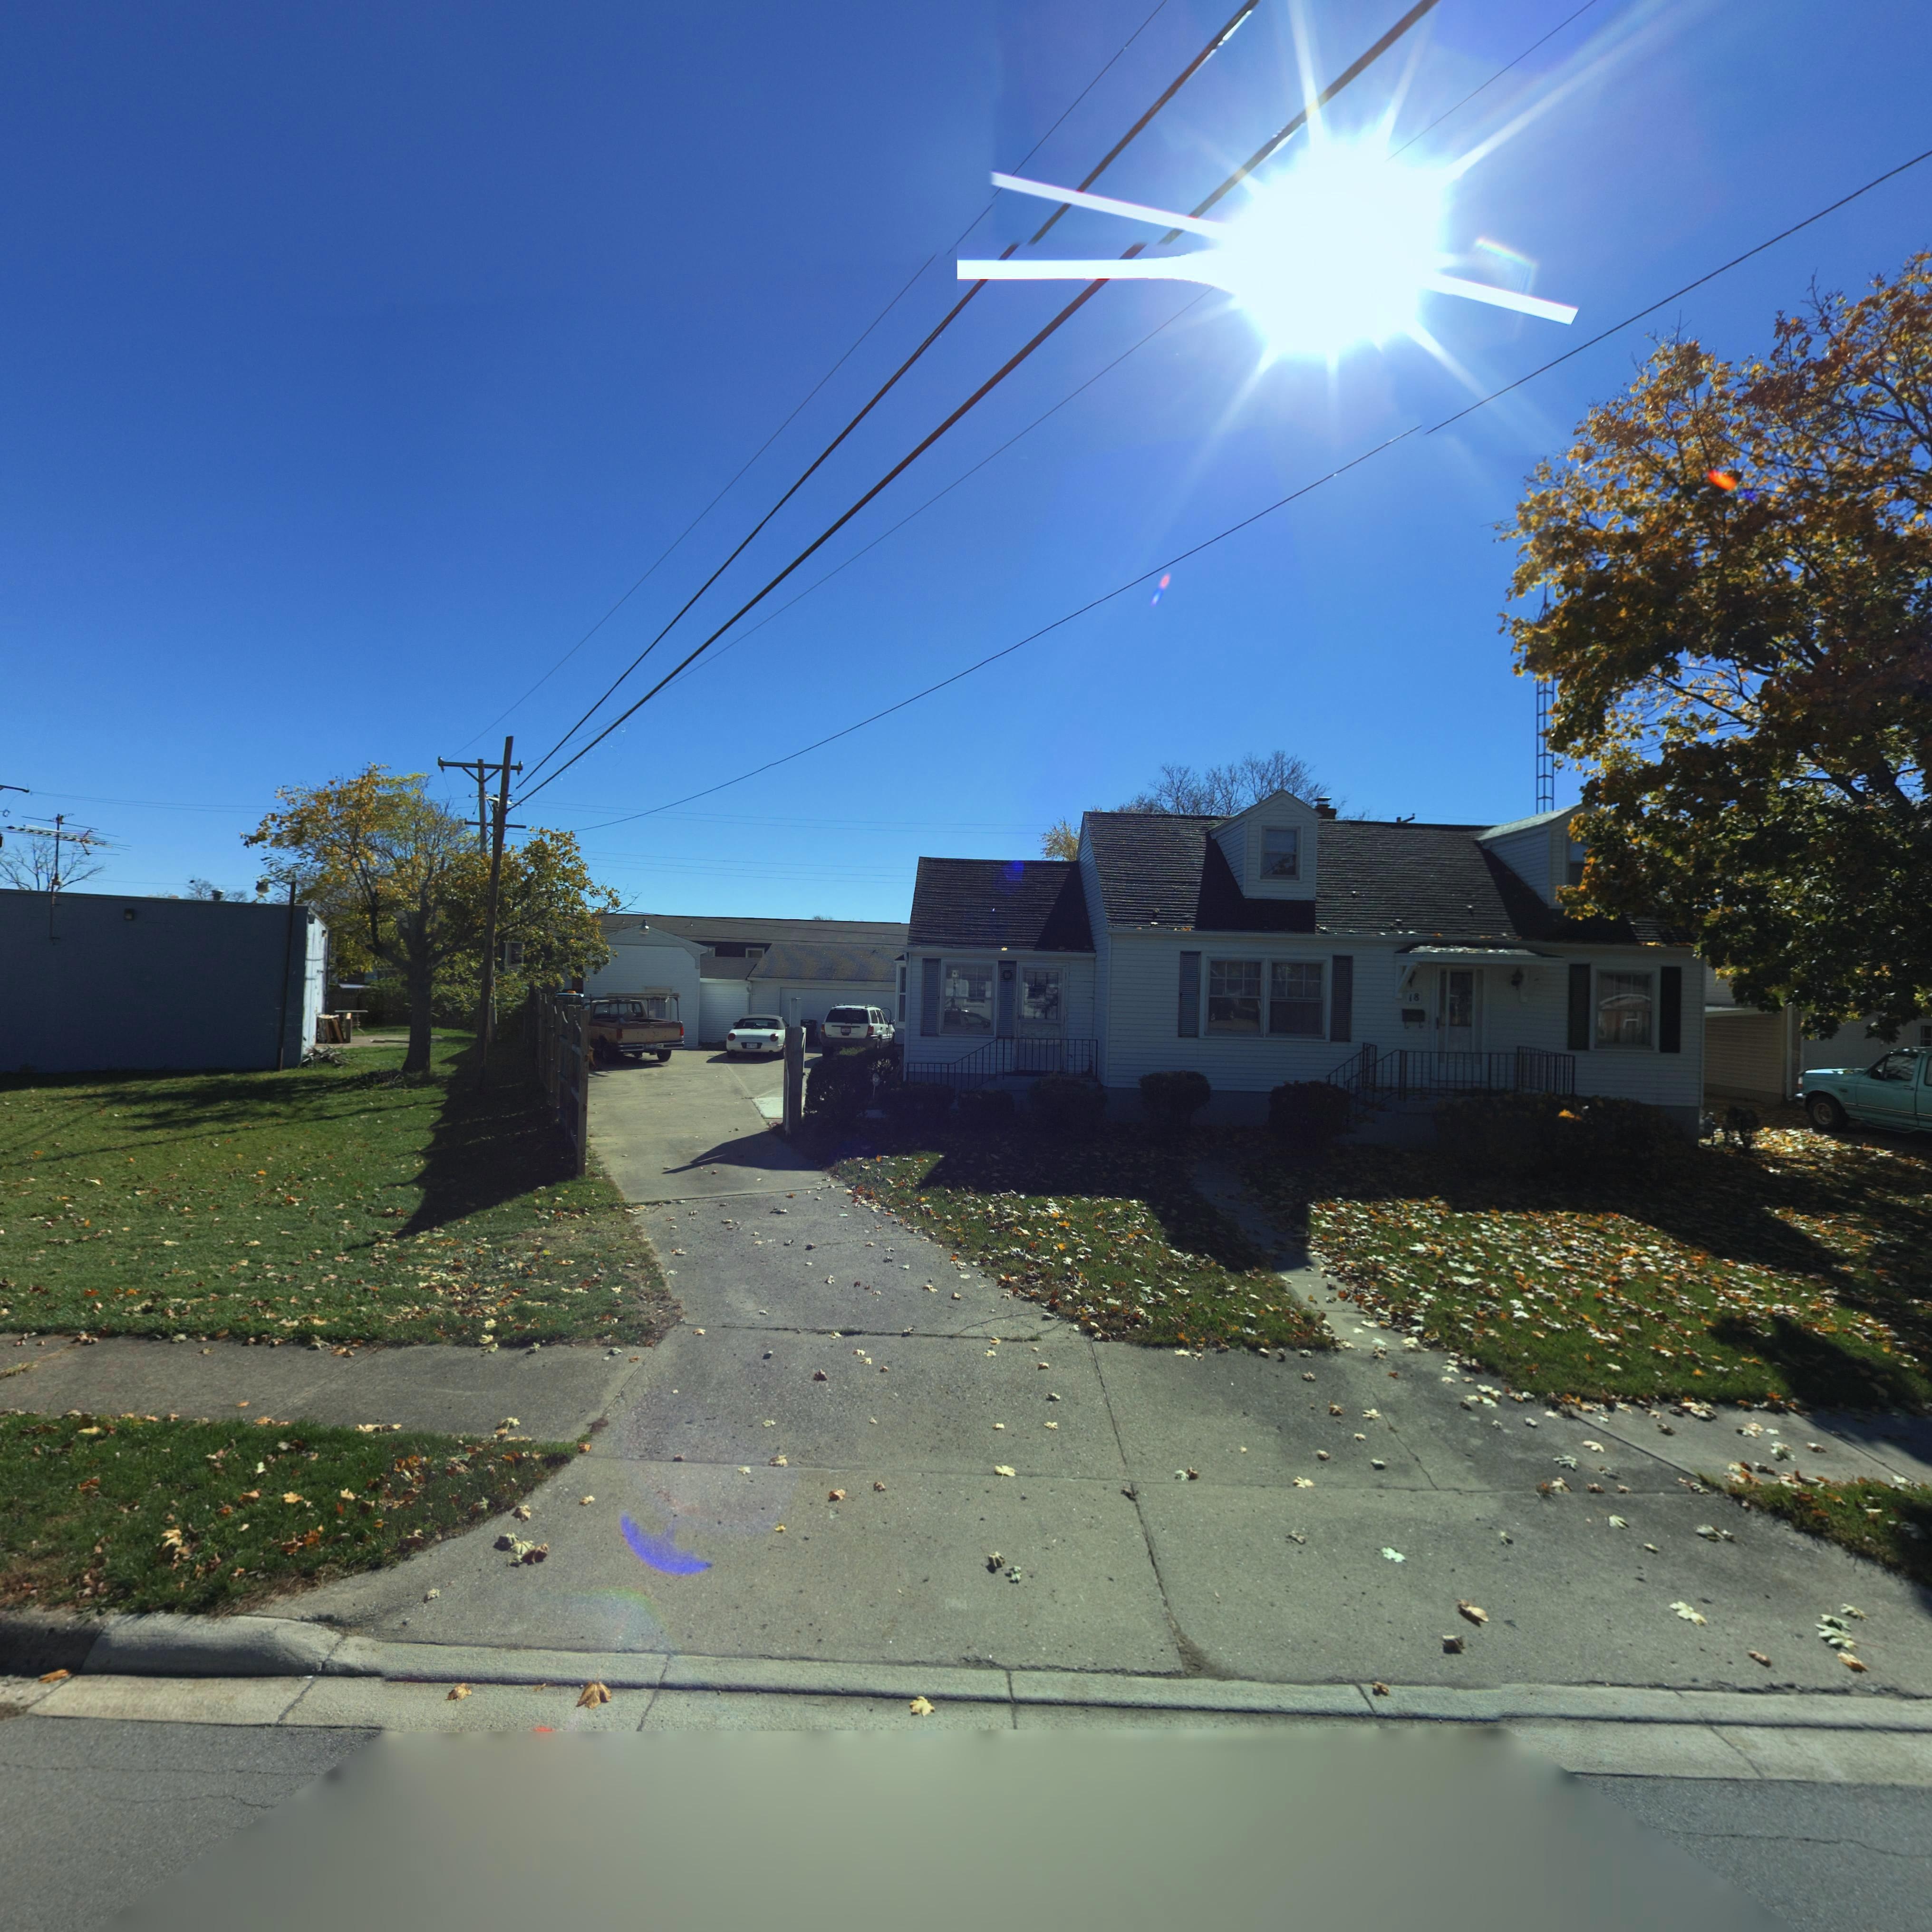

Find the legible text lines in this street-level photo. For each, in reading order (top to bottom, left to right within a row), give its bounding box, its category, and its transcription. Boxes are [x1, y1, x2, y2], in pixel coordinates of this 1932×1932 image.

[1408, 991, 1421, 1003] StreetNumber: 18